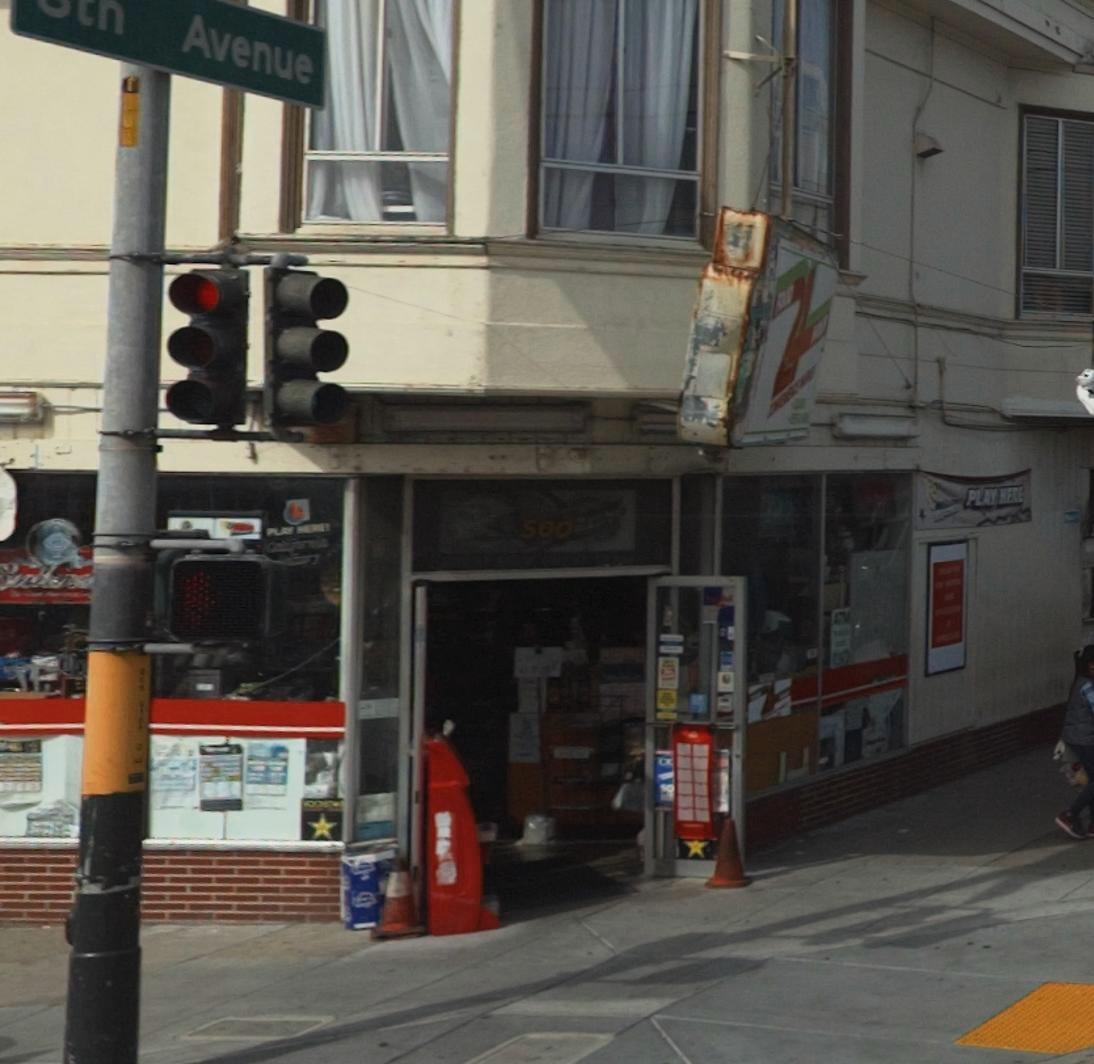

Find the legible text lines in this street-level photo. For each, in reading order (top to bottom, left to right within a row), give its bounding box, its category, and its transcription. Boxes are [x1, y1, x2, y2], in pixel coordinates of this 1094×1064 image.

[175, 11, 316, 92] StreetName: Avenue
[963, 485, 1025, 509] None: PLAY HERE
[265, 526, 295, 538] None: PLAY
[520, 519, 573, 540] StreetNumber: 500